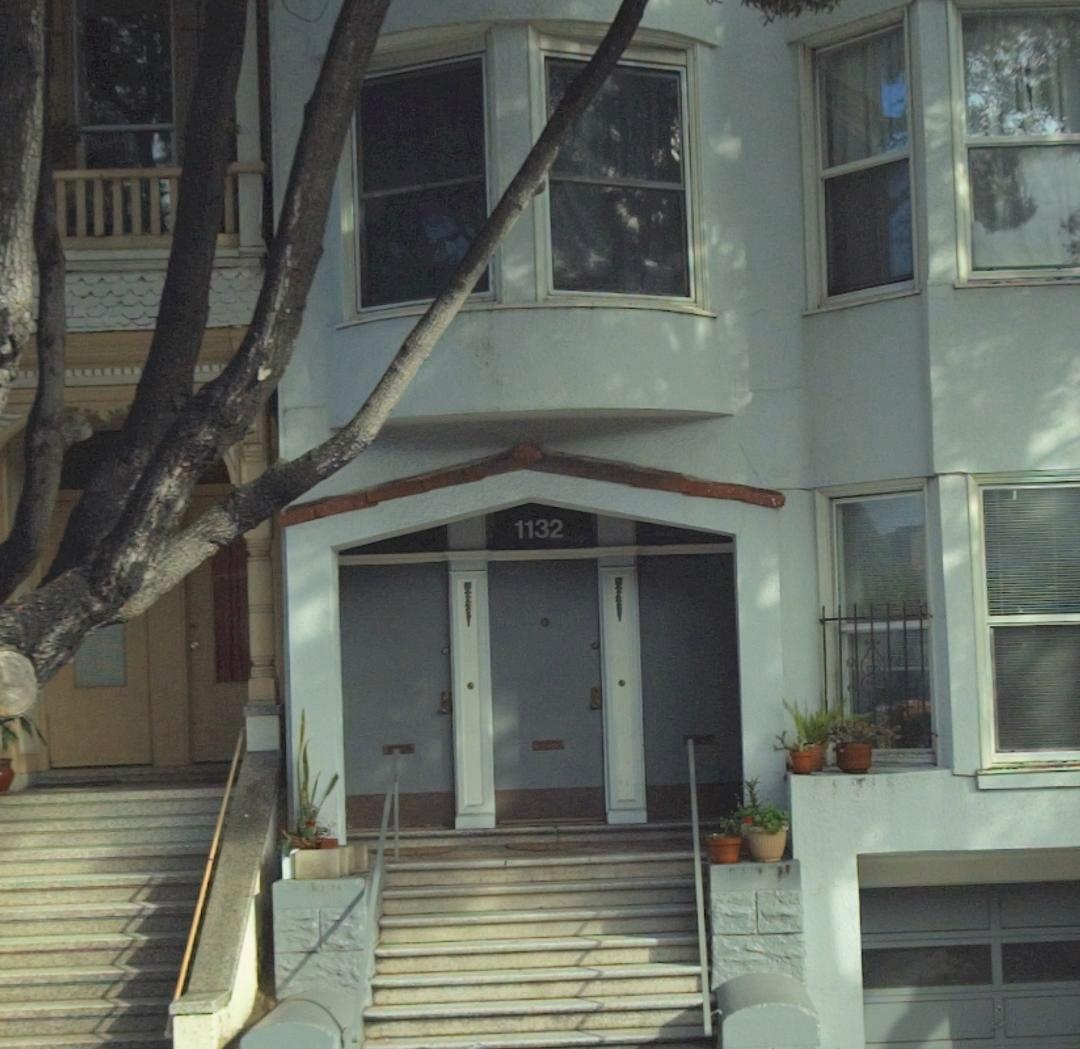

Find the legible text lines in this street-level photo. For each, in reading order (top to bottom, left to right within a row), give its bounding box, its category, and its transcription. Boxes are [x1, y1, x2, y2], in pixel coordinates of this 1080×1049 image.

[511, 516, 566, 541] StreetNumber: 1132